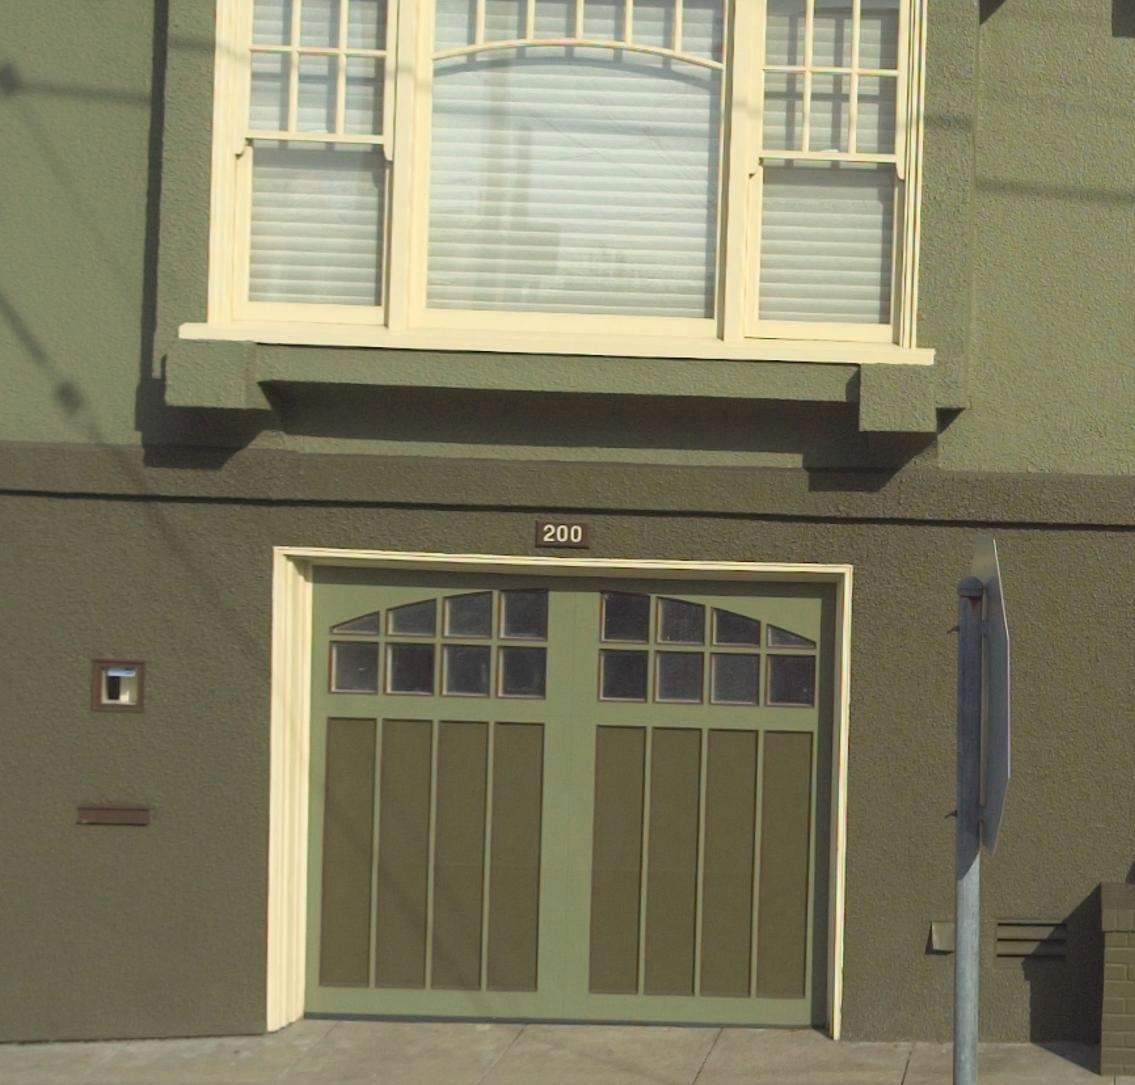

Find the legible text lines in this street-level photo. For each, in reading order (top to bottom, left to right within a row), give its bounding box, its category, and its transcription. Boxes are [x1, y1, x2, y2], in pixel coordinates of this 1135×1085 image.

[542, 523, 584, 544] StreetNumber: 200